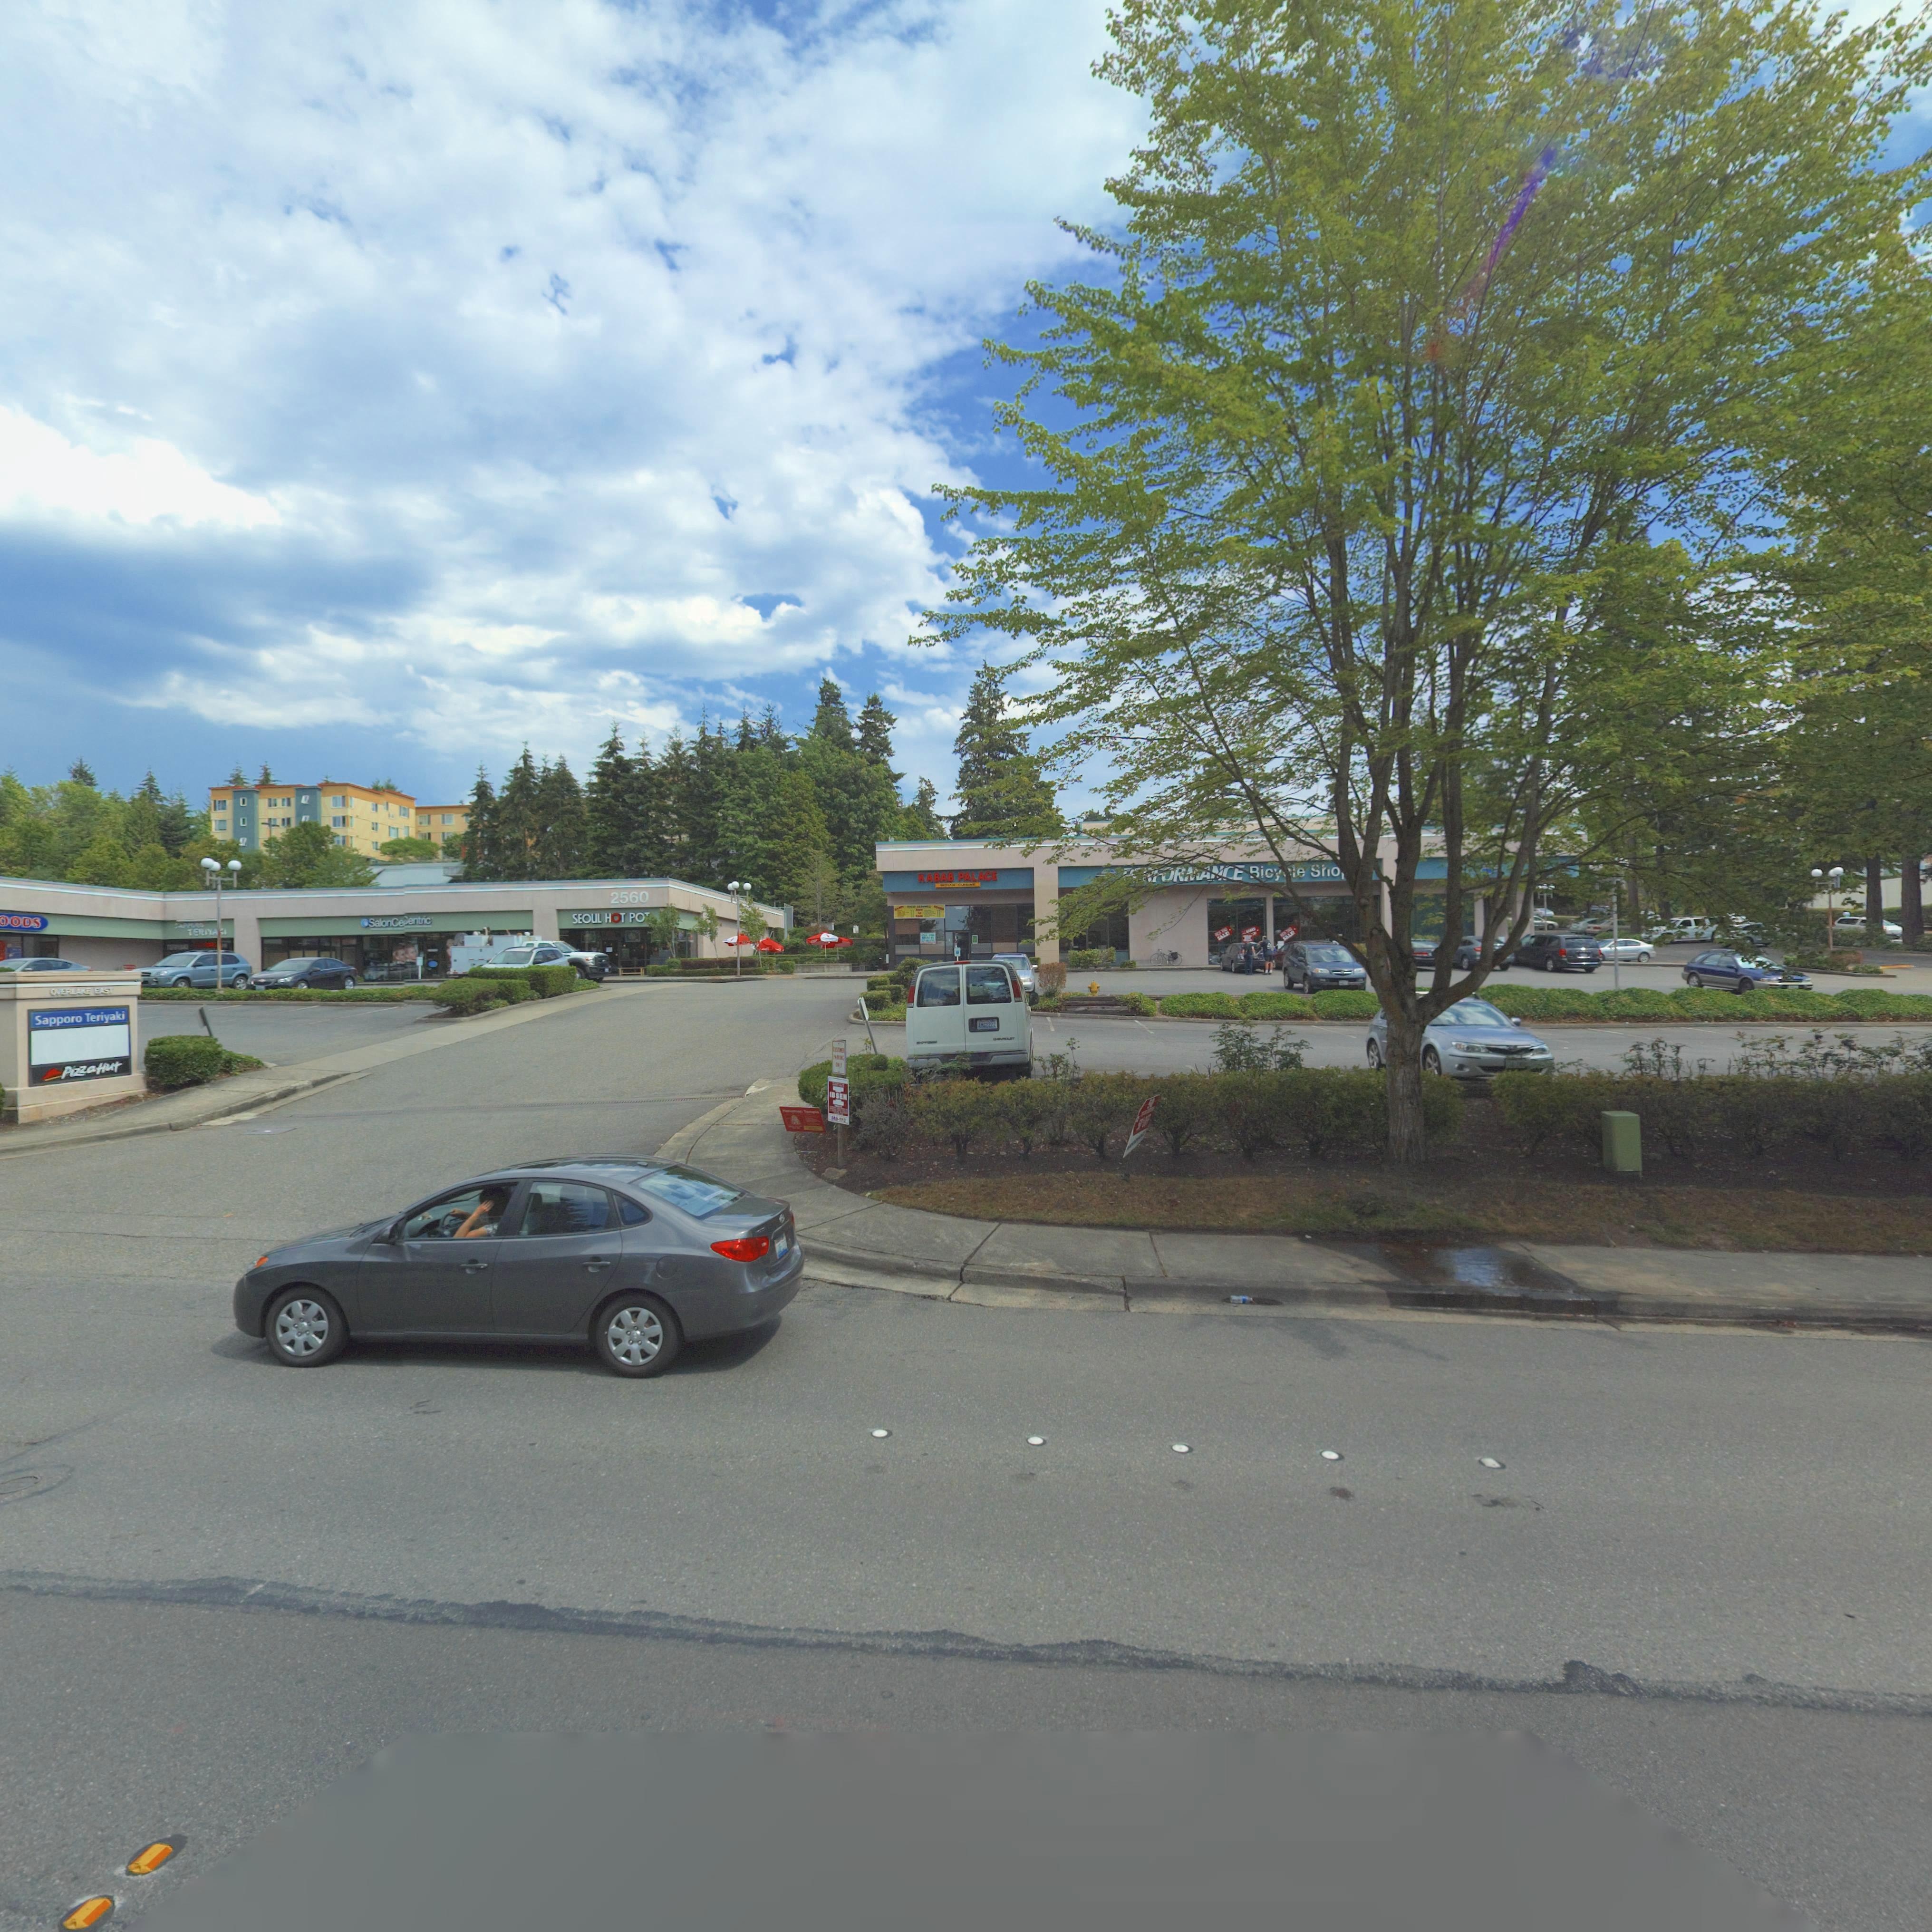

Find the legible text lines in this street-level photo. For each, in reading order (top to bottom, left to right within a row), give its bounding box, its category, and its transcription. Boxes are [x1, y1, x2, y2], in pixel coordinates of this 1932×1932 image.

[916, 870, 998, 883] BusinessName: KABAB PALACE
[1250, 865, 1343, 879] BusinessName: *icy*le Sho*
[610, 890, 648, 903] StreetNumber: 2560
[0, 914, 41, 928] BusinessName: OODS
[369, 915, 432, 929] BusinessName: SalonCe**nt**c
[572, 913, 650, 924] BusinessName: SEOUL HOT PO*
[187, 928, 227, 936] BusinessName: TERIY**I
[35, 1009, 126, 1026] BusinessName: Sapporo Teriyaki
[58, 1060, 123, 1078] BusinessName: Pizza Hut